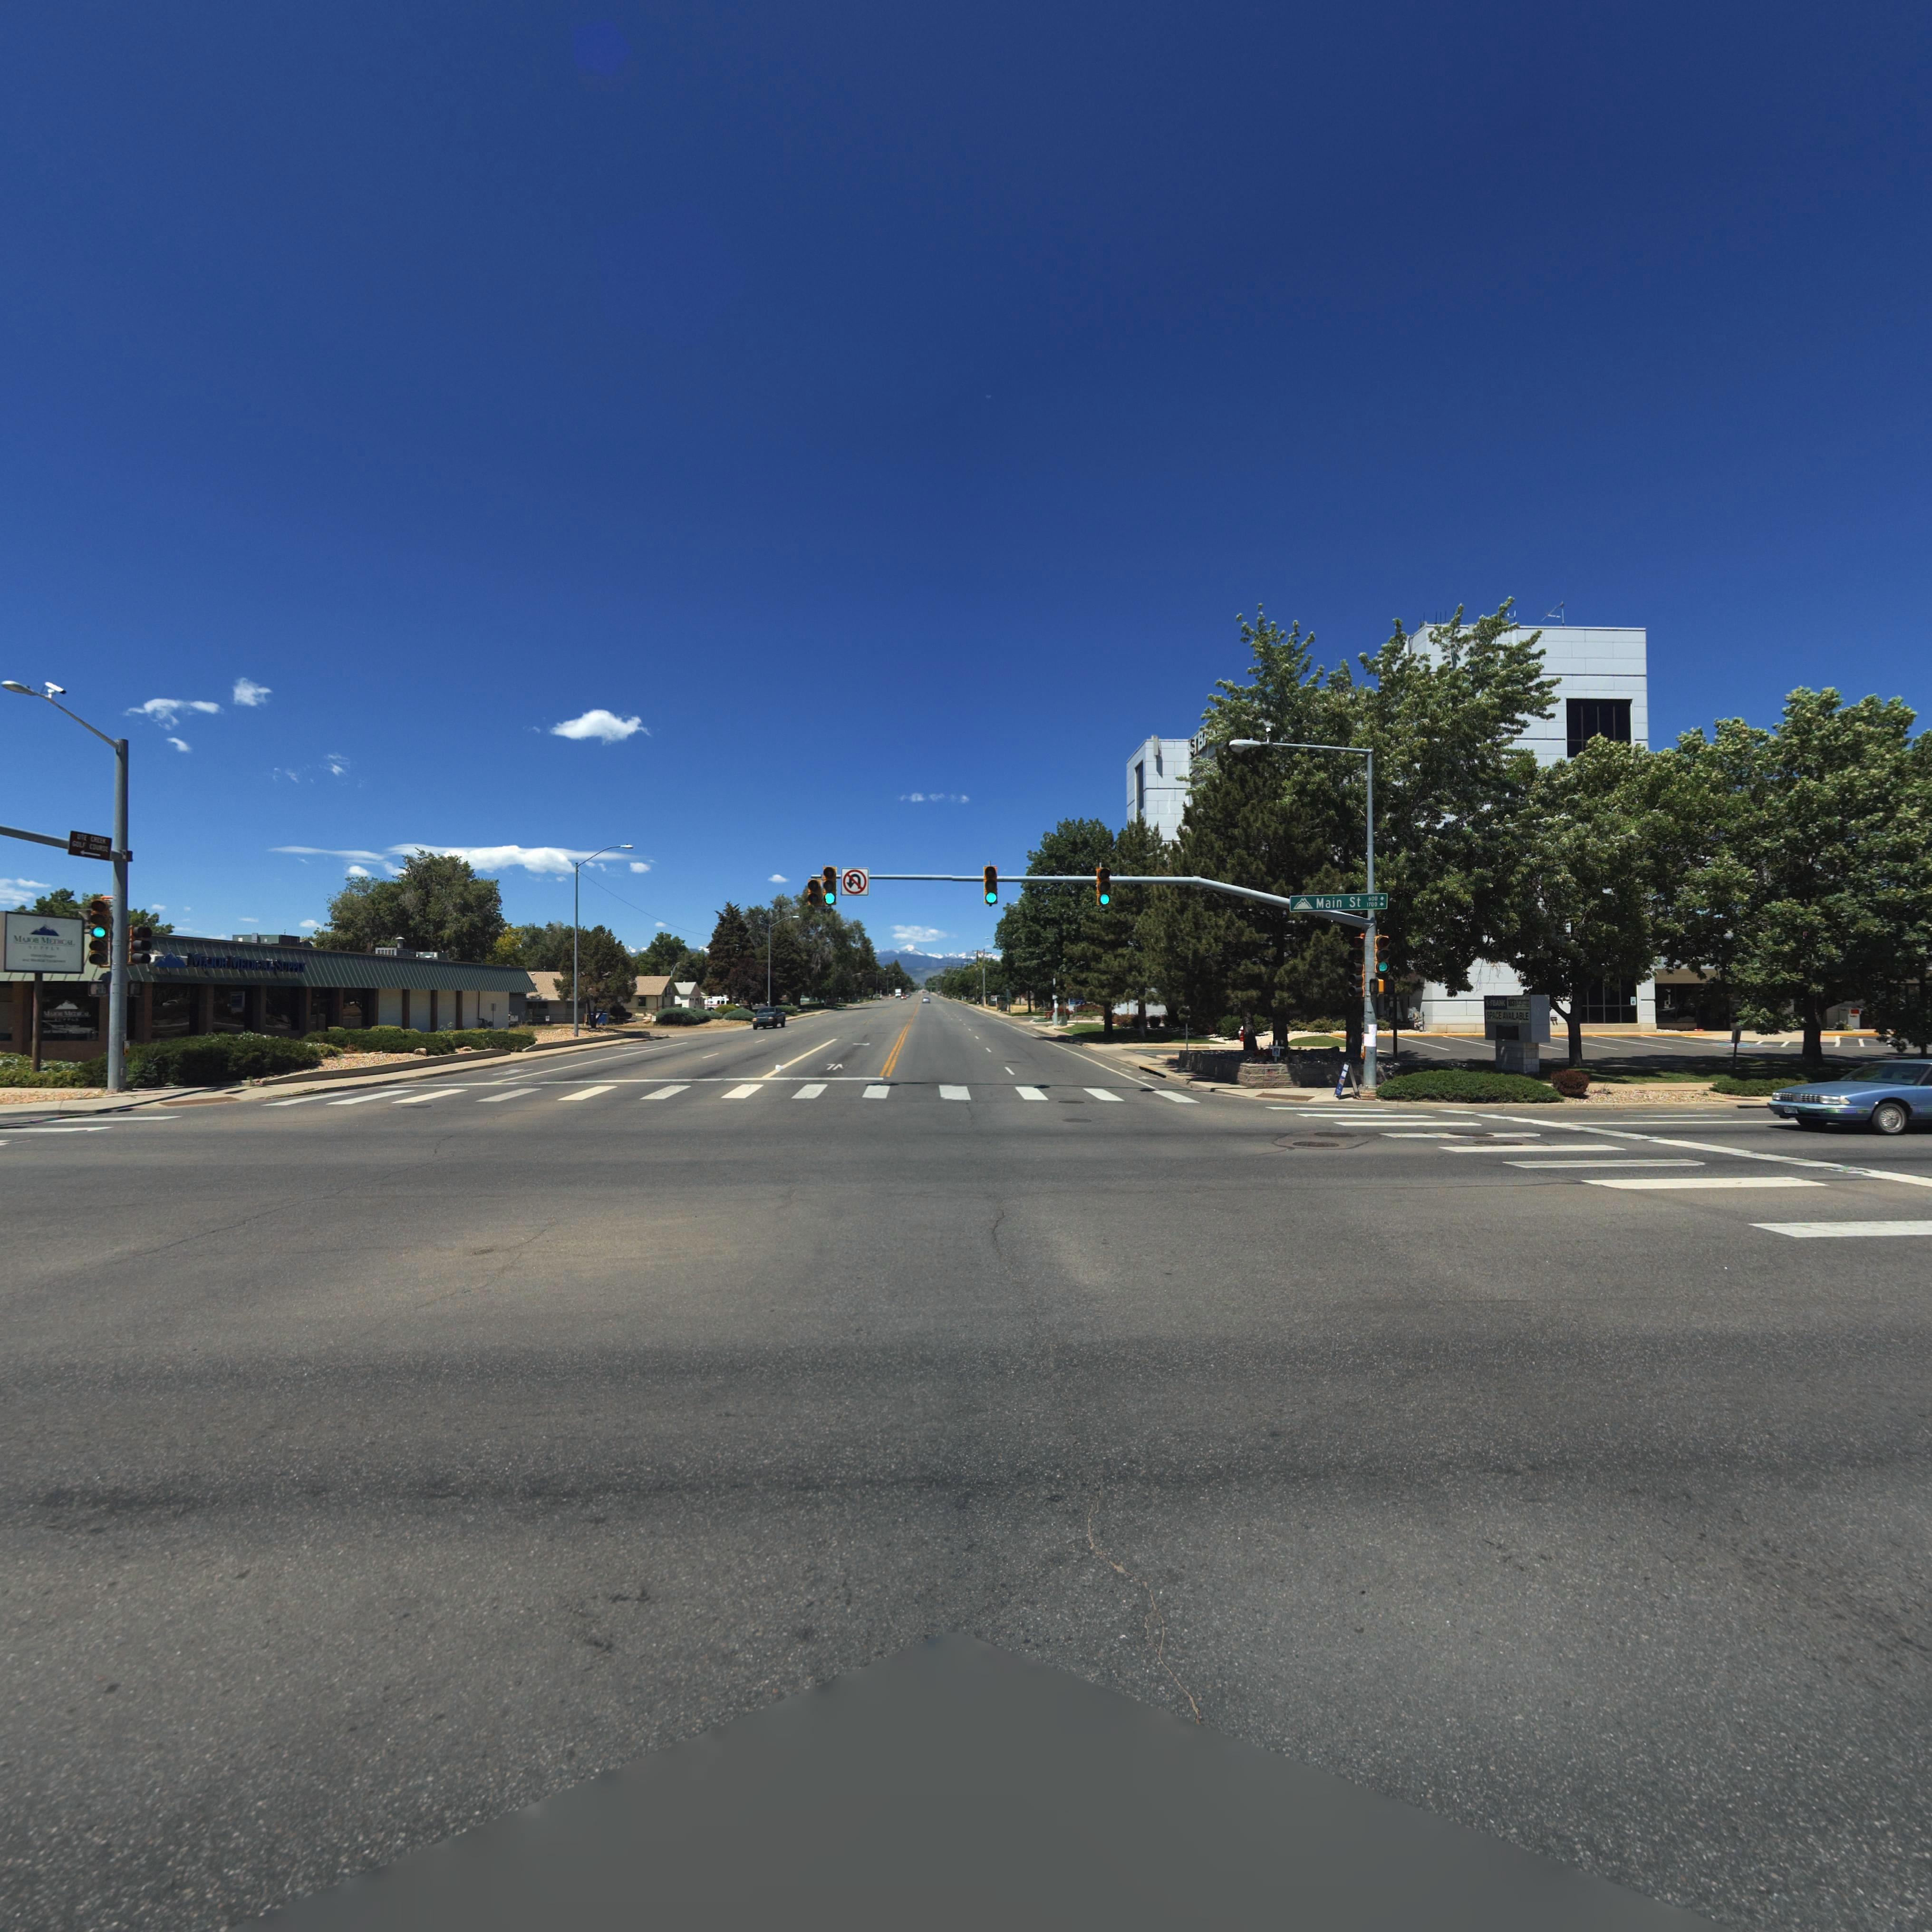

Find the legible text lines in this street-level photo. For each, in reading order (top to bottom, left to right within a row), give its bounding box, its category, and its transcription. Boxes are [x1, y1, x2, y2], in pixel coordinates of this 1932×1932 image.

[1187, 729, 1204, 760] BusinessName: 1**B
[1315, 896, 1361, 908] StreetName: Main St
[1368, 895, 1378, 901] StreetNumberRange: 600
[1366, 901, 1384, 907] StreetNumberRange: 1700->
[12, 934, 76, 946] BusinessName: M**O* ME**C*L
[27, 944, 60, 951] BusinessName: ***PLY
[186, 952, 307, 973] BusinessName: MAJOR MEDICAL SUPPLY
[1486, 999, 1506, 1006] BusinessName: 1**BAN*
[1507, 998, 1517, 1007] StreetNumber: 1*31